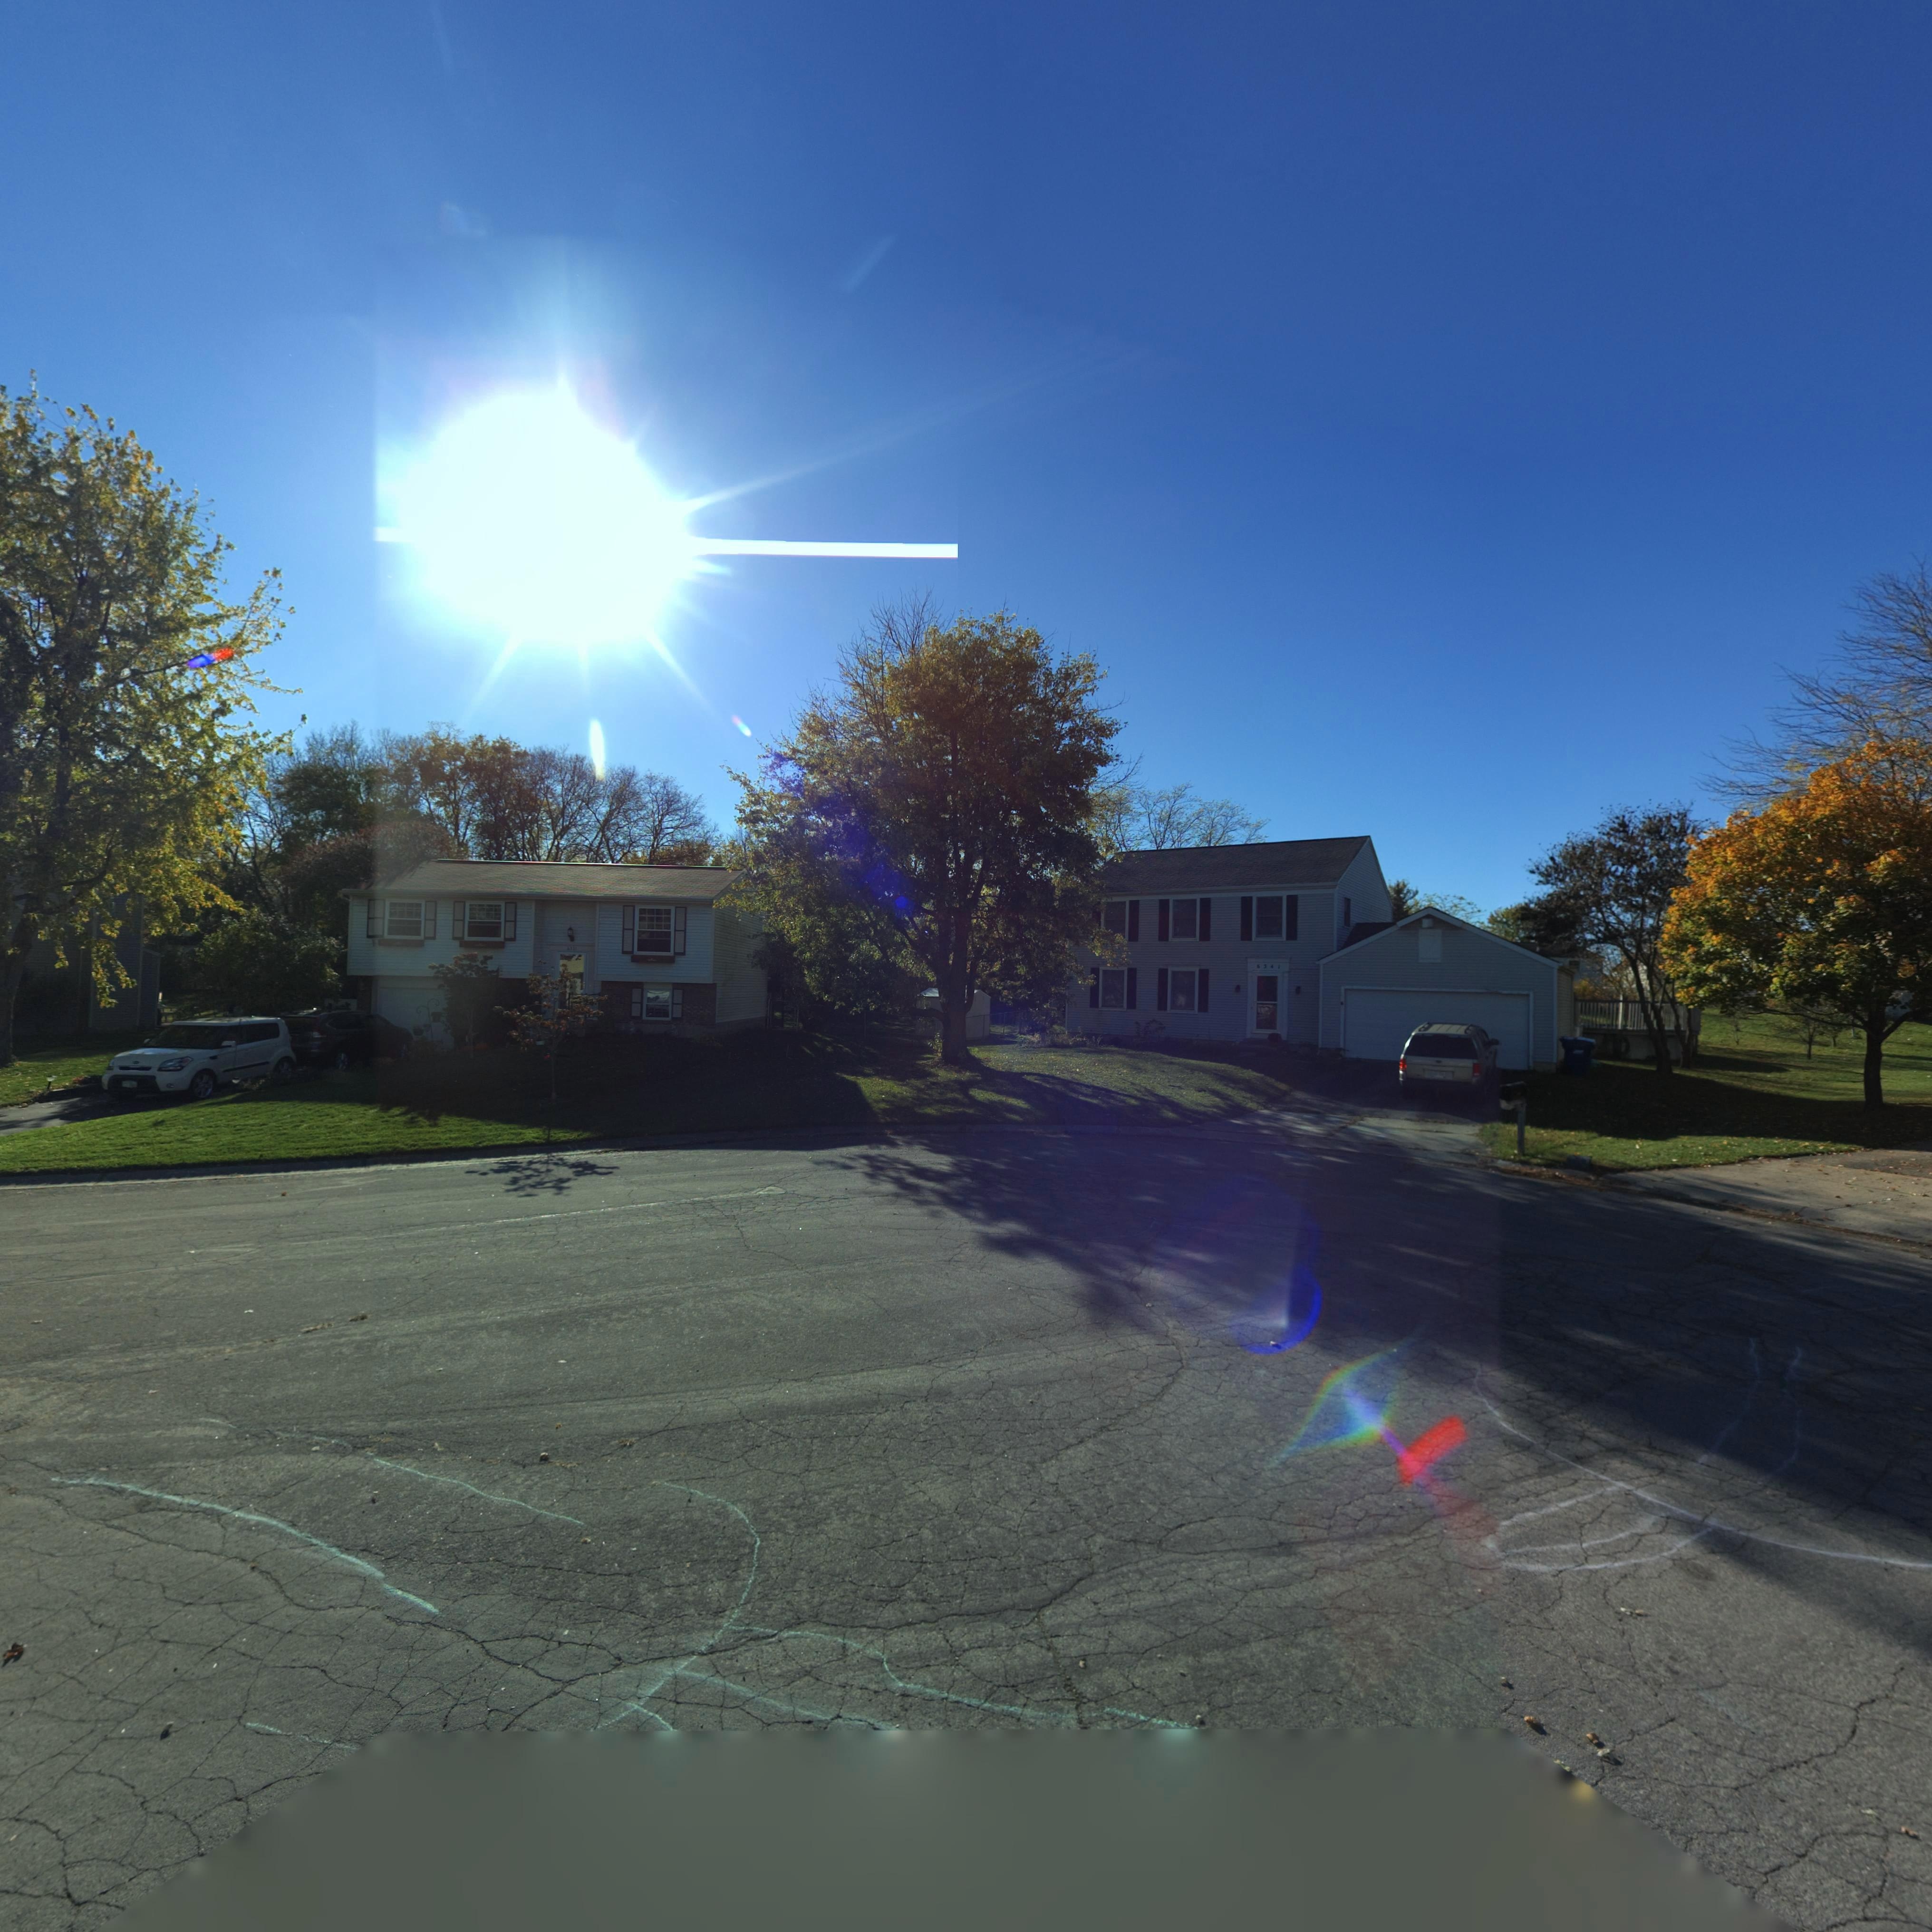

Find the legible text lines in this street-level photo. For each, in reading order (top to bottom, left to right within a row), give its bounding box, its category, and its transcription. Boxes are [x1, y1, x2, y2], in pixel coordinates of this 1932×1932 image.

[1256, 963, 1281, 970] StreetNumber: 6541